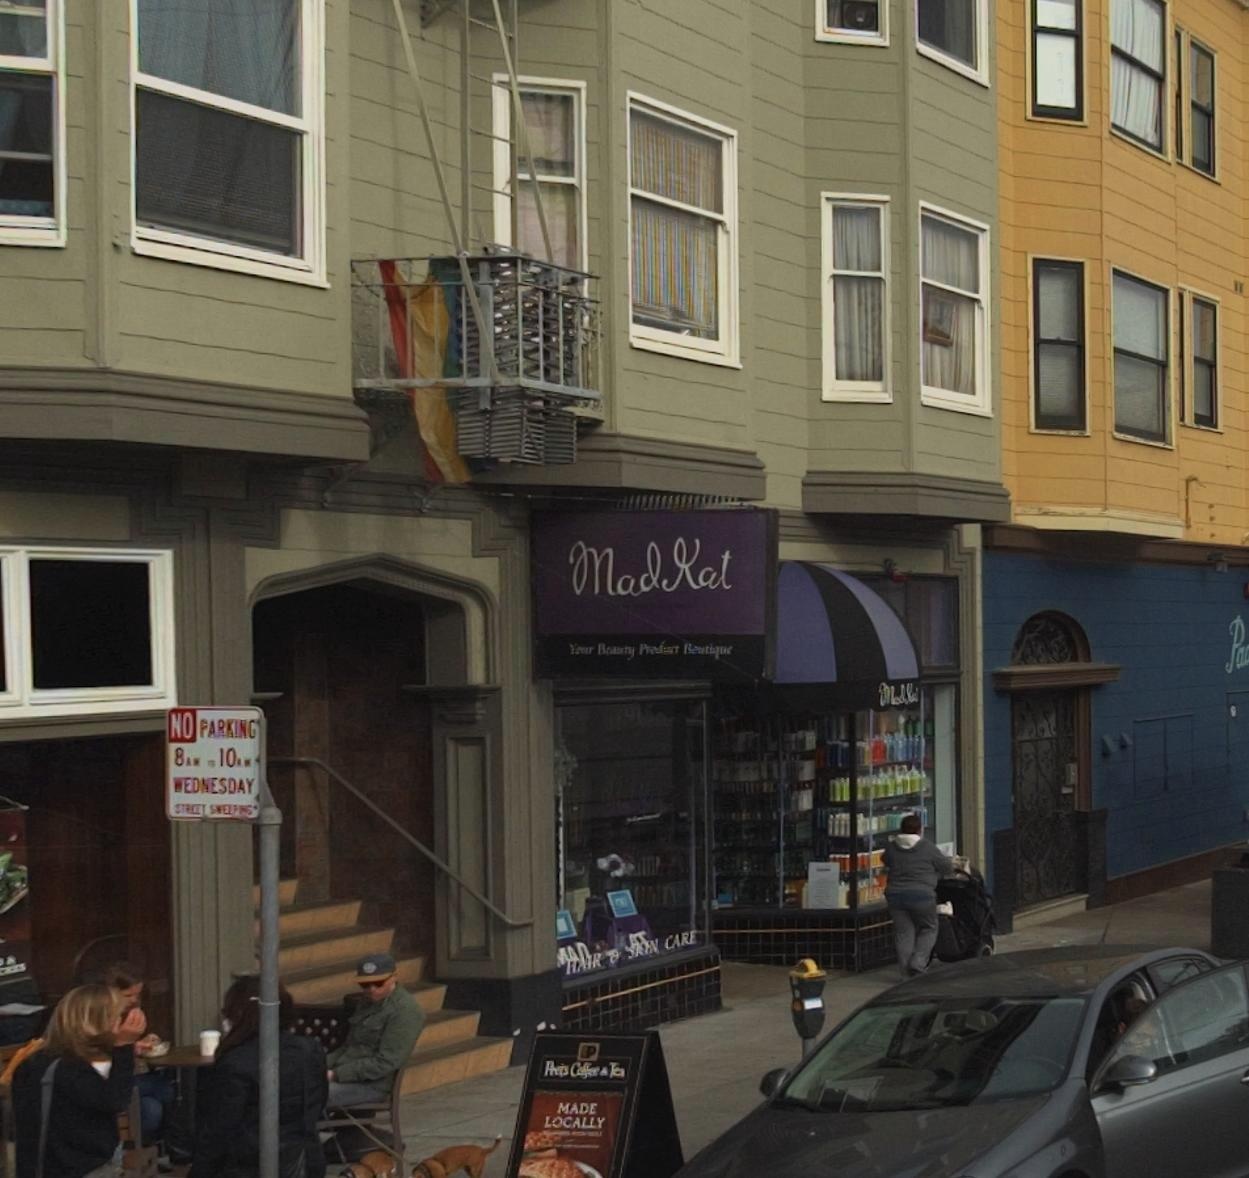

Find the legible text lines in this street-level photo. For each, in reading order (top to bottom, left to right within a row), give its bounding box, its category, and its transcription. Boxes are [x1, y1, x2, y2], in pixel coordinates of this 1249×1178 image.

[568, 535, 734, 597] BusinessName: Madkat
[567, 638, 736, 664] None: Your Beauty Product Boutique
[1224, 613, 1248, 675] None: Pa
[878, 681, 919, 707] BusinessName: MadKat
[170, 711, 256, 739] None: NO PARKING
[172, 746, 252, 768] None: 8A.M. TO 10*.M.
[172, 776, 257, 795] None: WEDNESDAY
[174, 803, 253, 815] None: STREET SWEEPING
[564, 928, 698, 977] None: HAIR & SKIN CARE
[543, 1060, 625, 1080] BusinessName: Pete's Coffee & Tea
[554, 1101, 599, 1115] None: MADE
[542, 1115, 607, 1129] None: LOCALLY